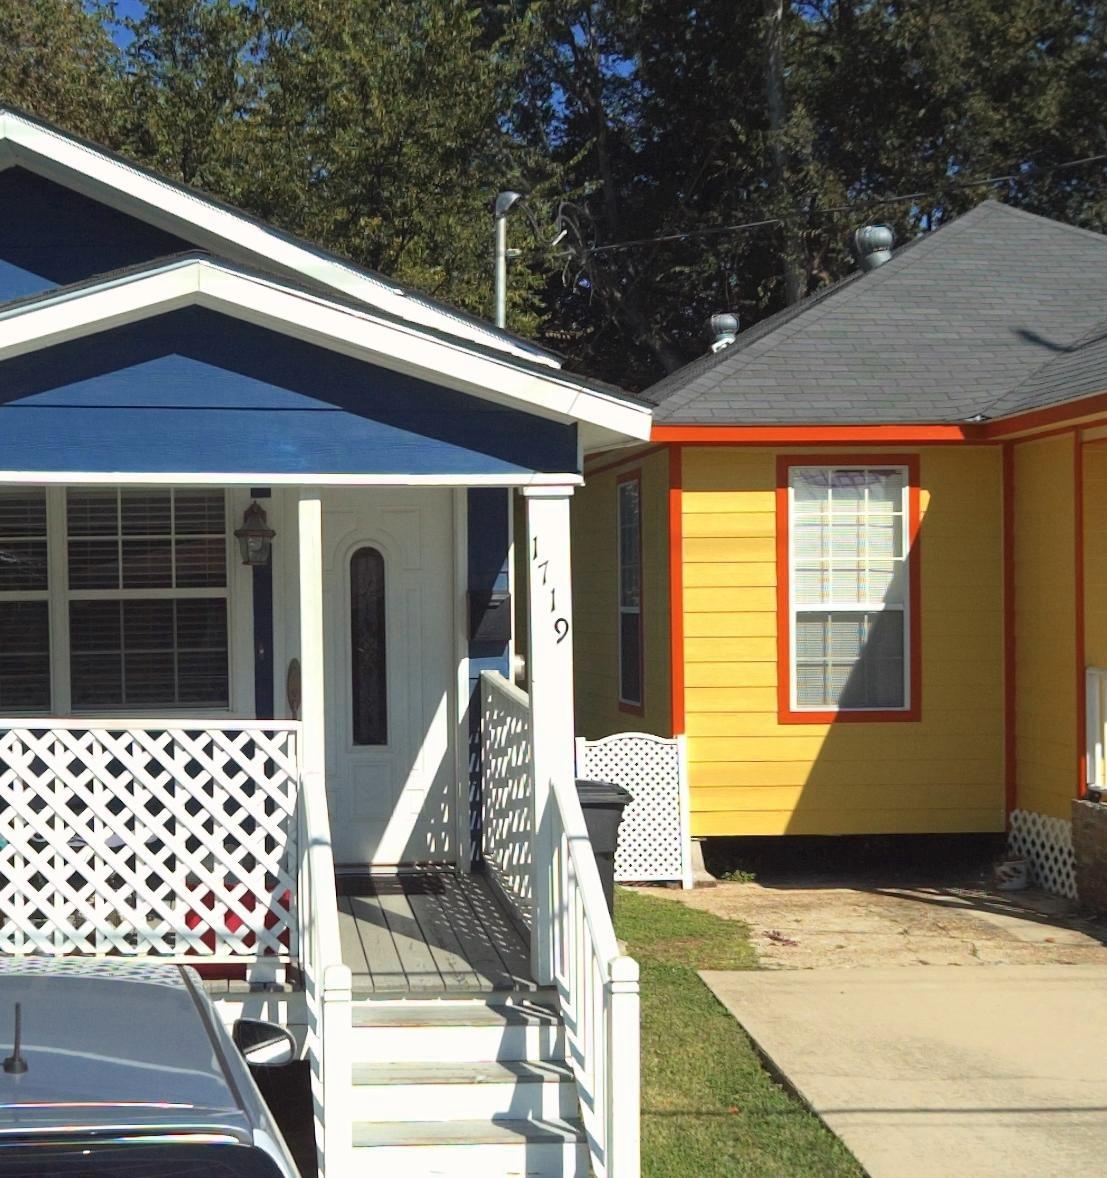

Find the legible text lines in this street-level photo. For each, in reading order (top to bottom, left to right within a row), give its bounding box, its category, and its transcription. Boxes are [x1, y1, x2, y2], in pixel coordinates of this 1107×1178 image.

[527, 532, 572, 649] StreetNumber: 1719